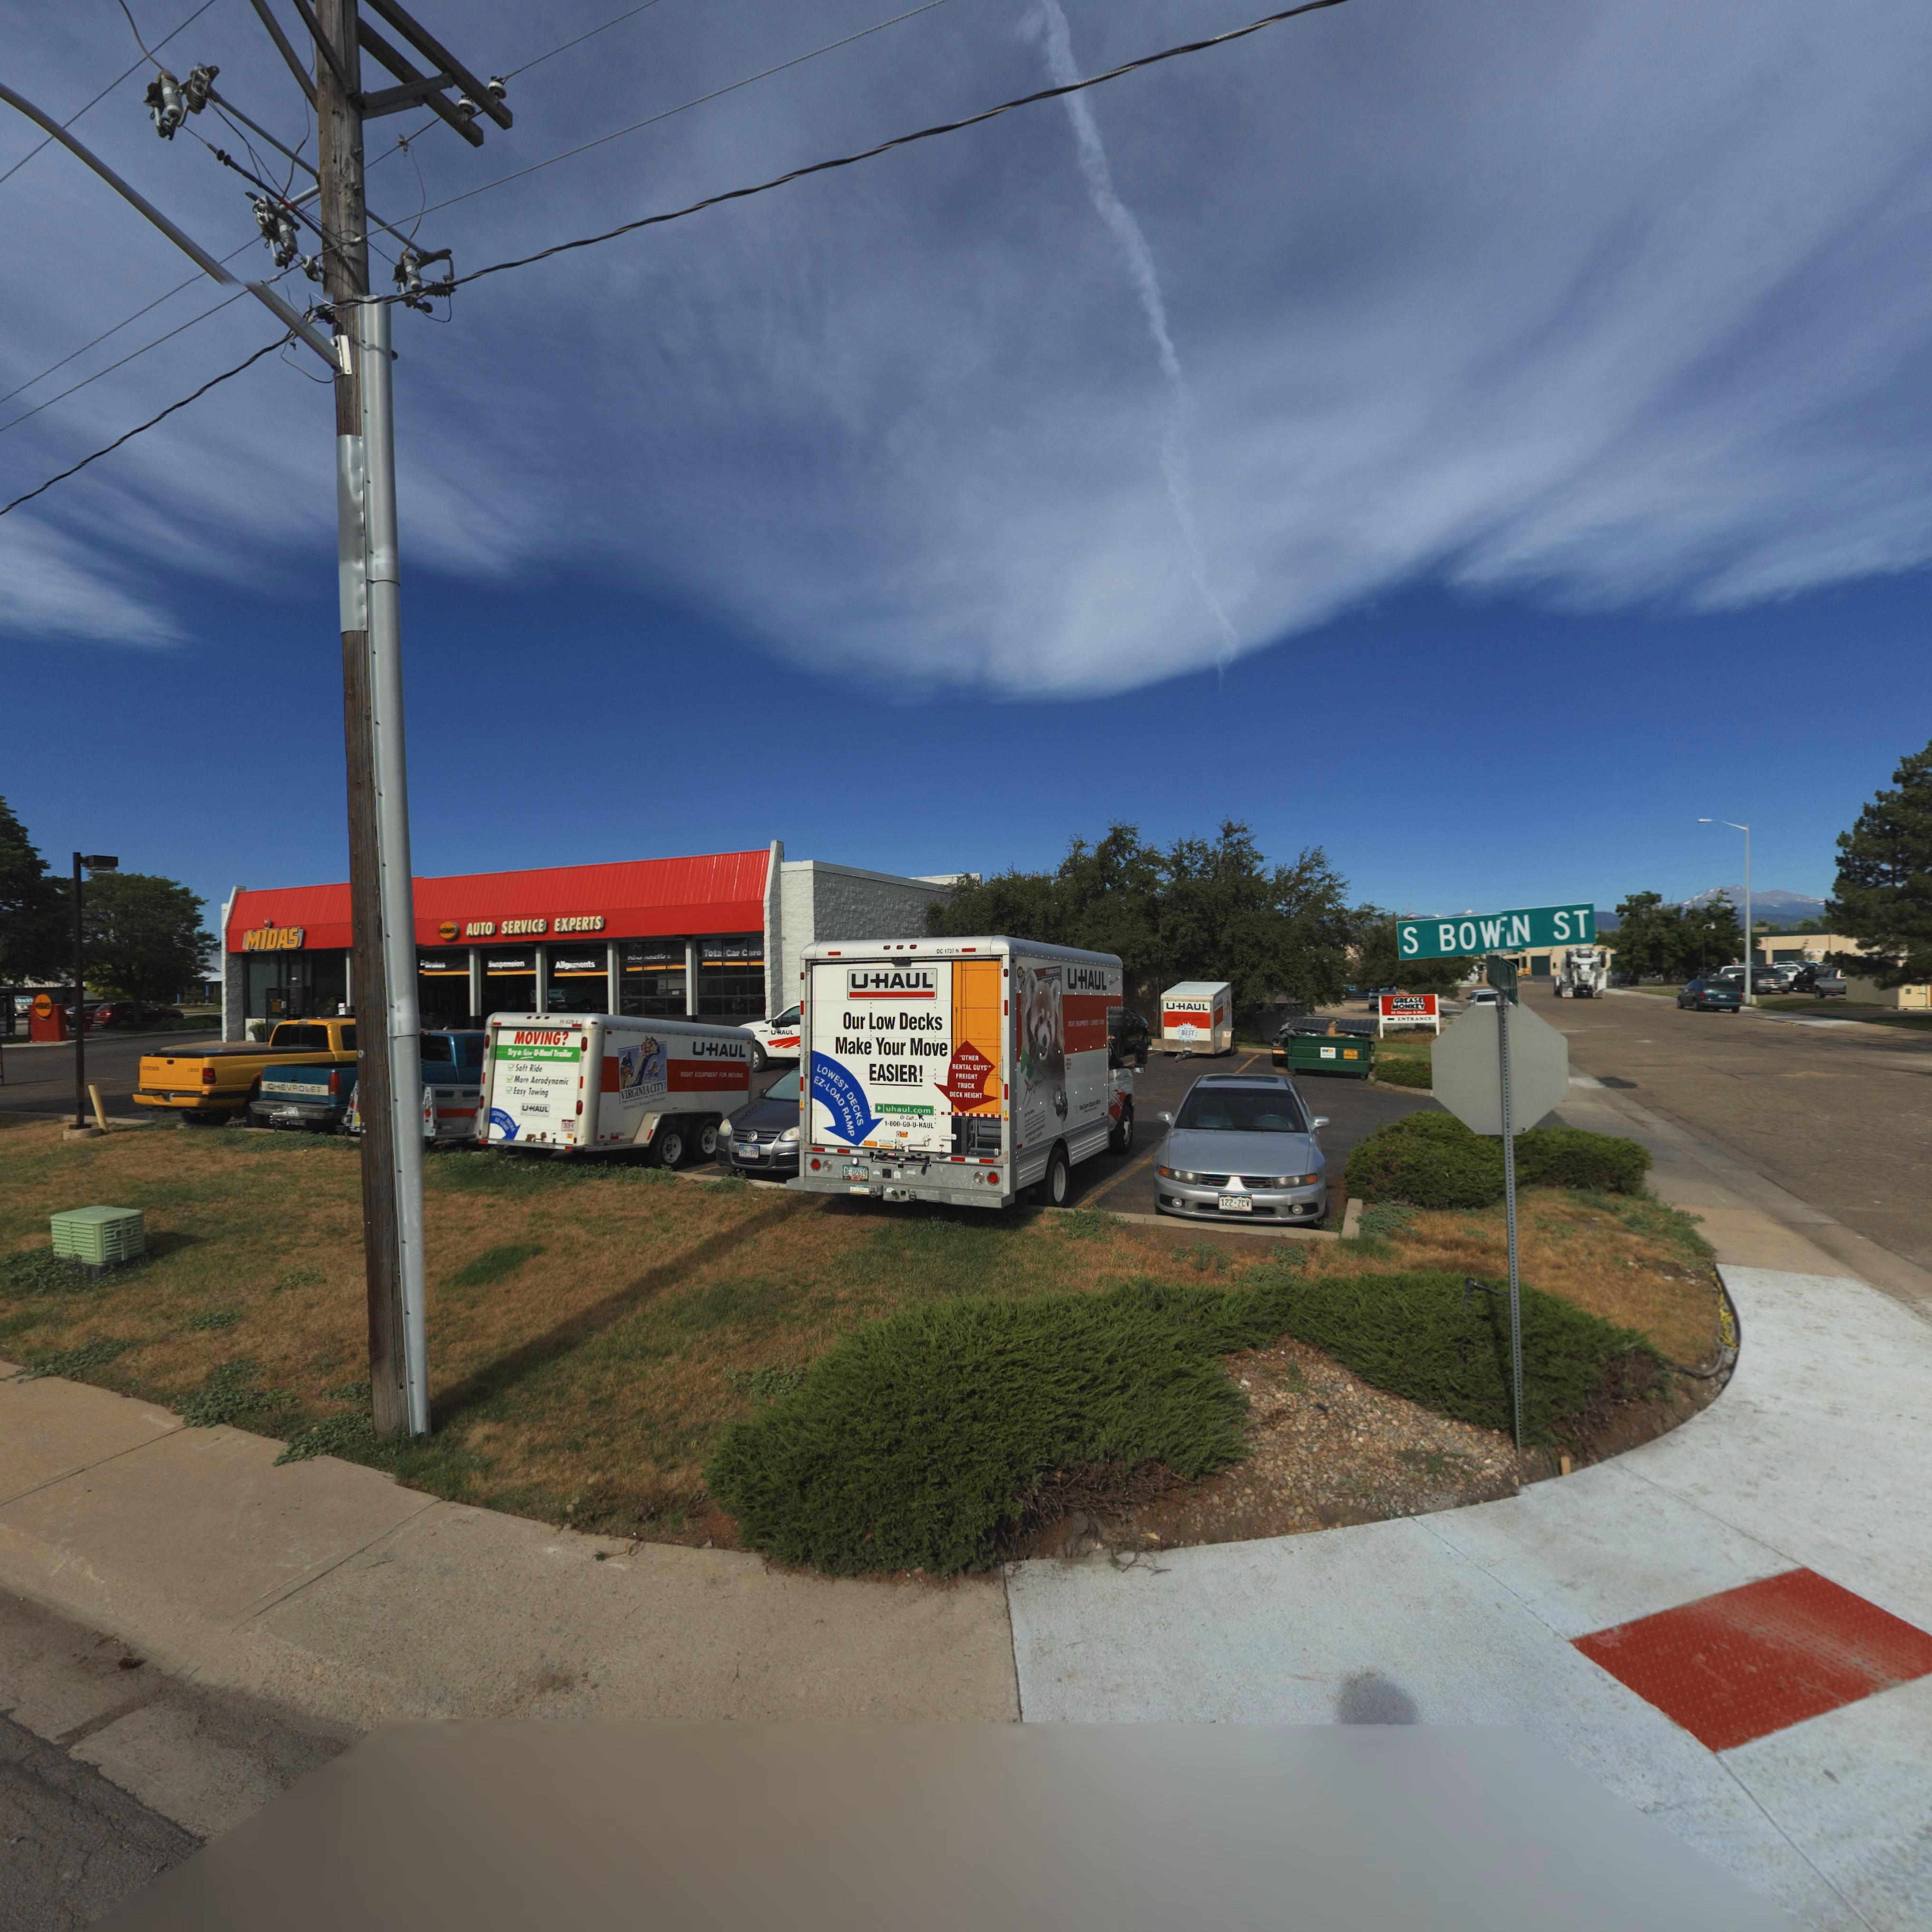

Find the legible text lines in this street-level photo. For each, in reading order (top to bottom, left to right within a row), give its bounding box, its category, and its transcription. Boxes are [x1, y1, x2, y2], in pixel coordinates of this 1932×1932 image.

[244, 919, 299, 950] BusinessName: MiDAS
[438, 924, 455, 934] BusinessName: Mi**S
[465, 915, 602, 936] BusinessName: AUTO SERVICE EXPERTS
[1402, 909, 1589, 955] StreetName: S BOW*N ST
[1486, 956, 1518, 1001] StreetName: ******* PL
[35, 998, 51, 1009] BusinessName: ****S
[1394, 997, 1422, 1003] BusinessName: GREASE
[1391, 1003, 1425, 1009] BusinessName: MONKEY